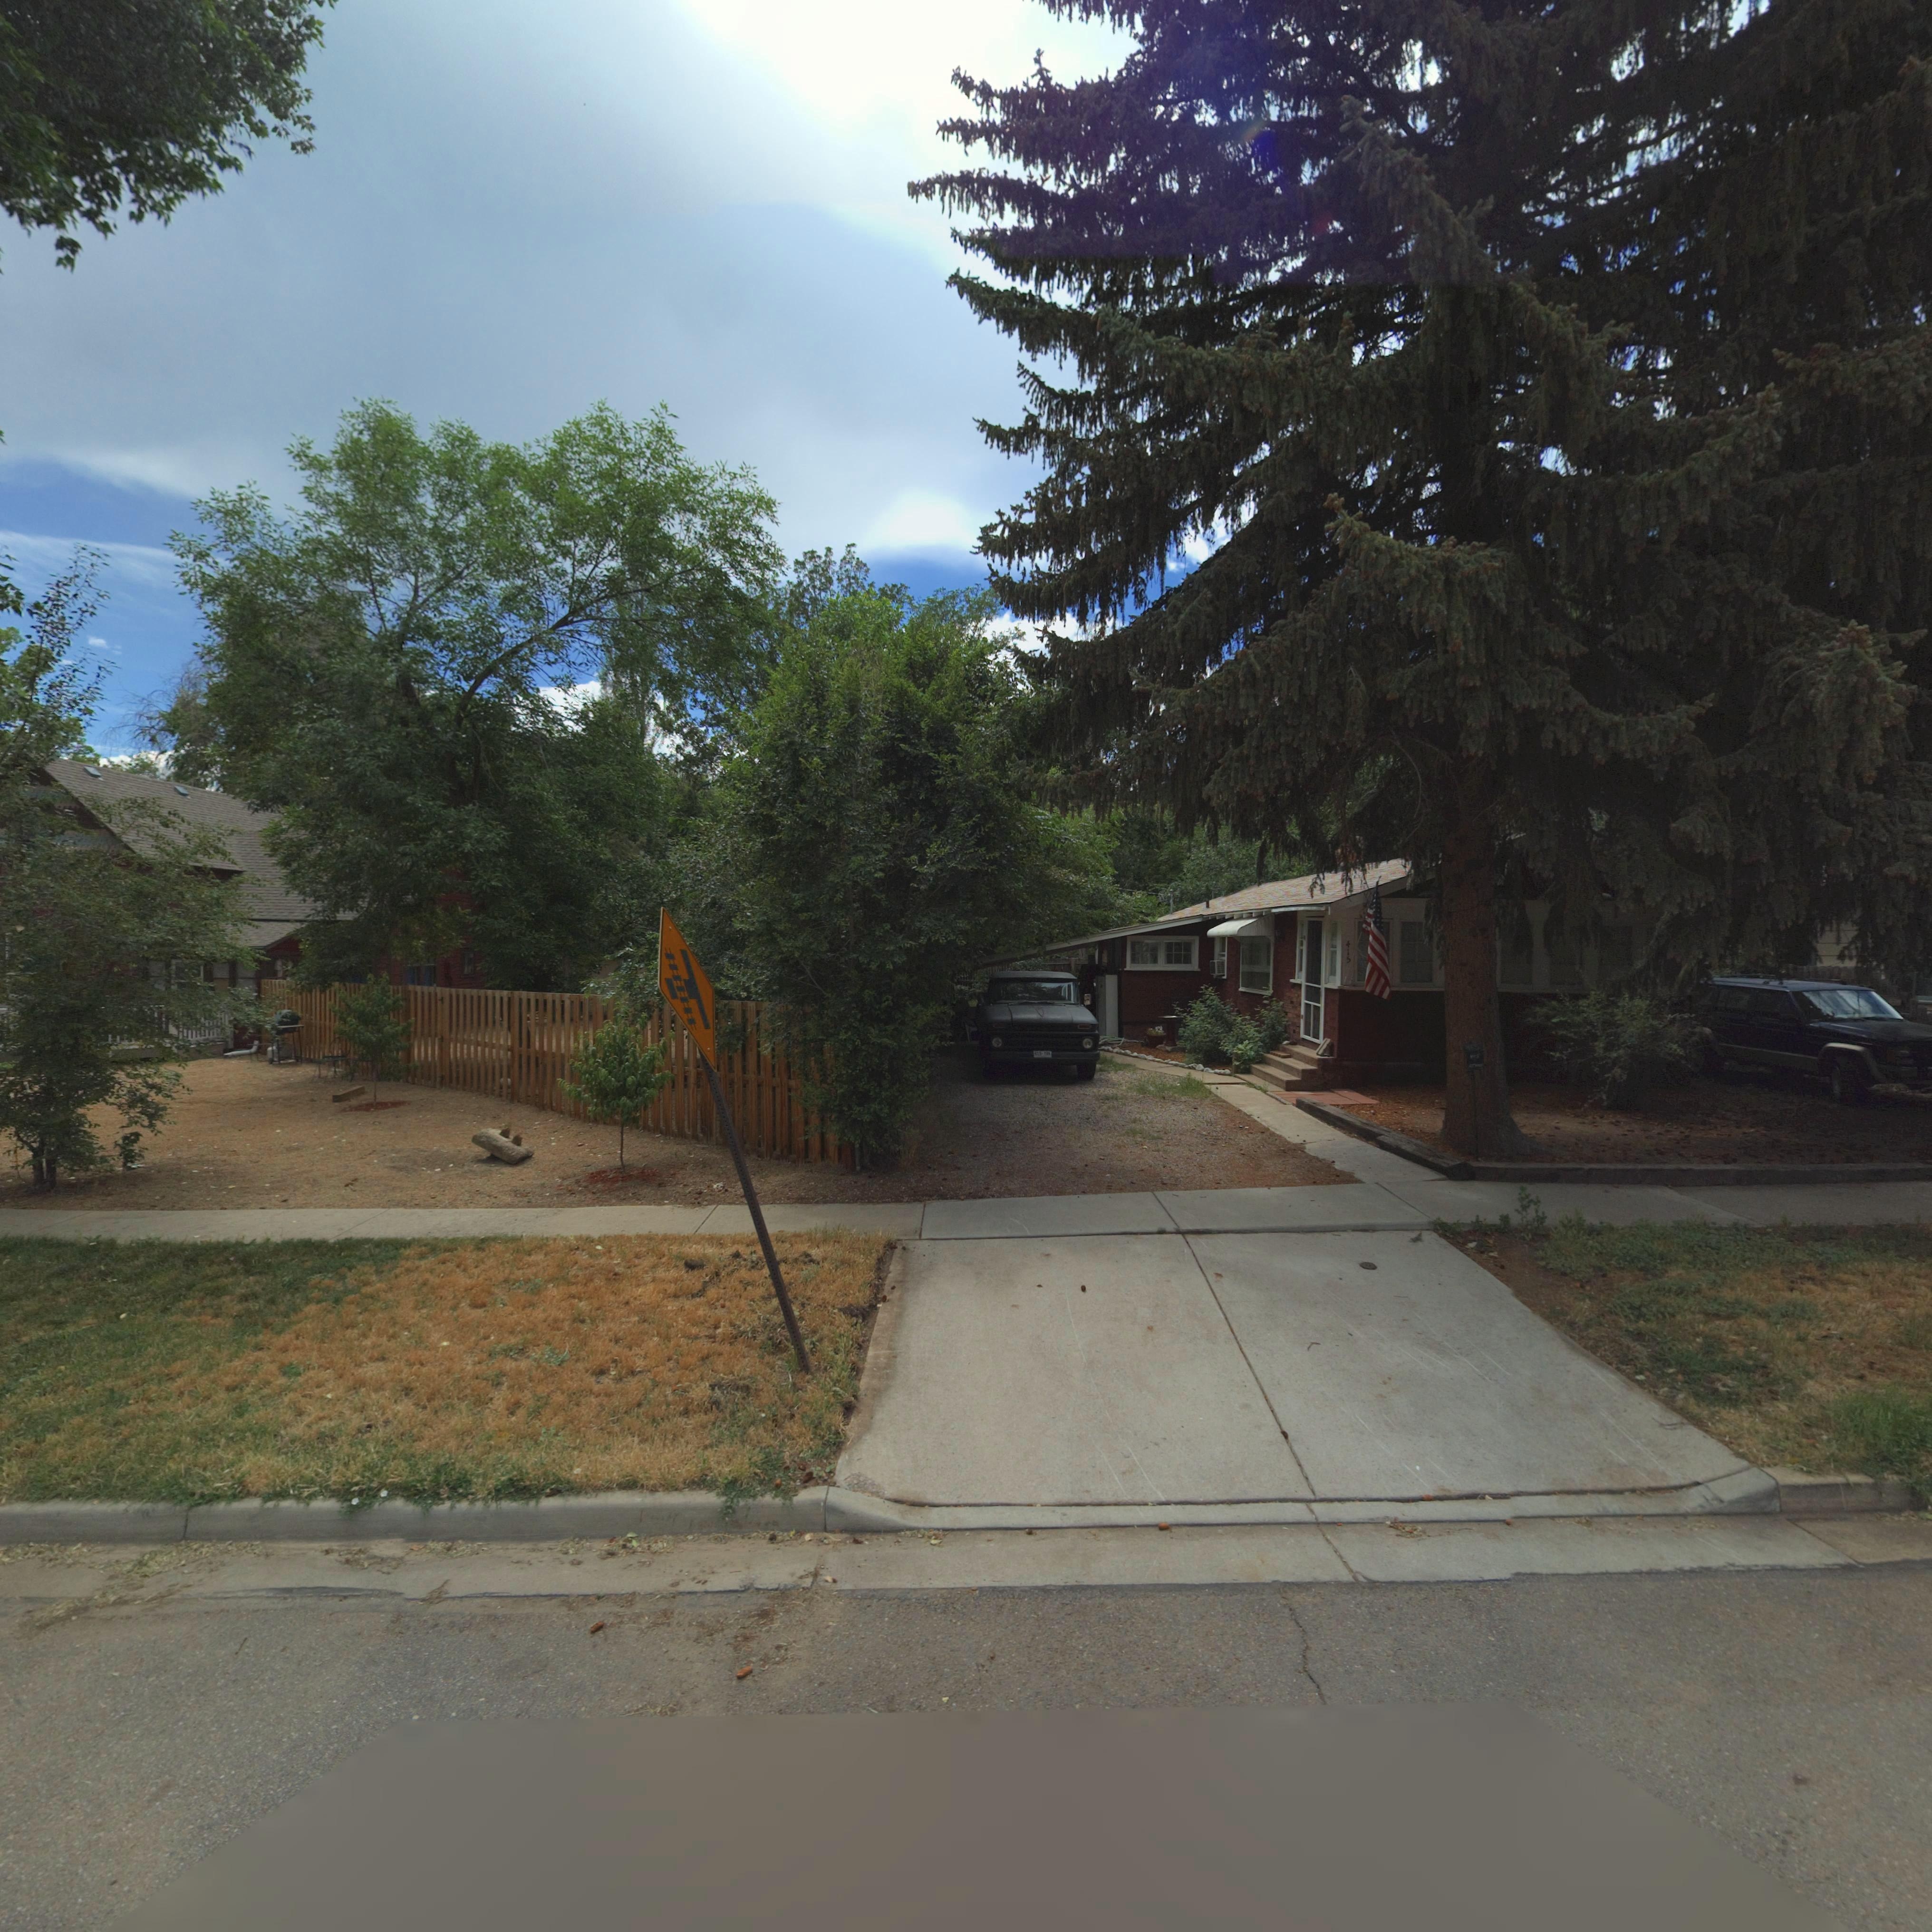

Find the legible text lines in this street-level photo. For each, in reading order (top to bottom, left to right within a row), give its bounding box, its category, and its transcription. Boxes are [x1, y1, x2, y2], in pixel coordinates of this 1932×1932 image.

[1345, 939, 1351, 964] StreetNumber: 415